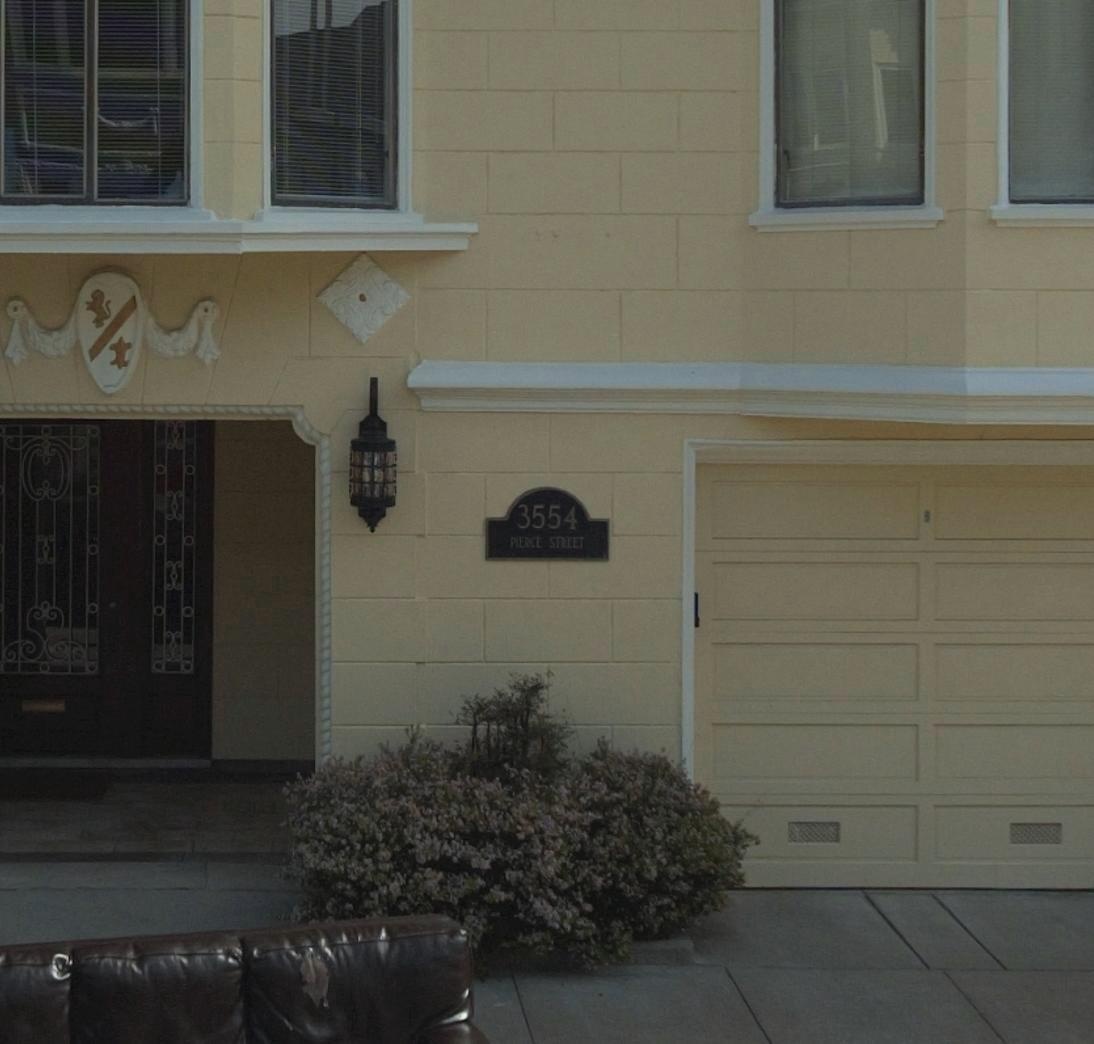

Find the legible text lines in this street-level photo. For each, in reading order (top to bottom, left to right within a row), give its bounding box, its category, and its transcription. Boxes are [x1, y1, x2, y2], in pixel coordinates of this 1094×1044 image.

[514, 502, 580, 532] StreetNumber: 3554
[507, 534, 586, 551] StreetName: P*ERCE STREET